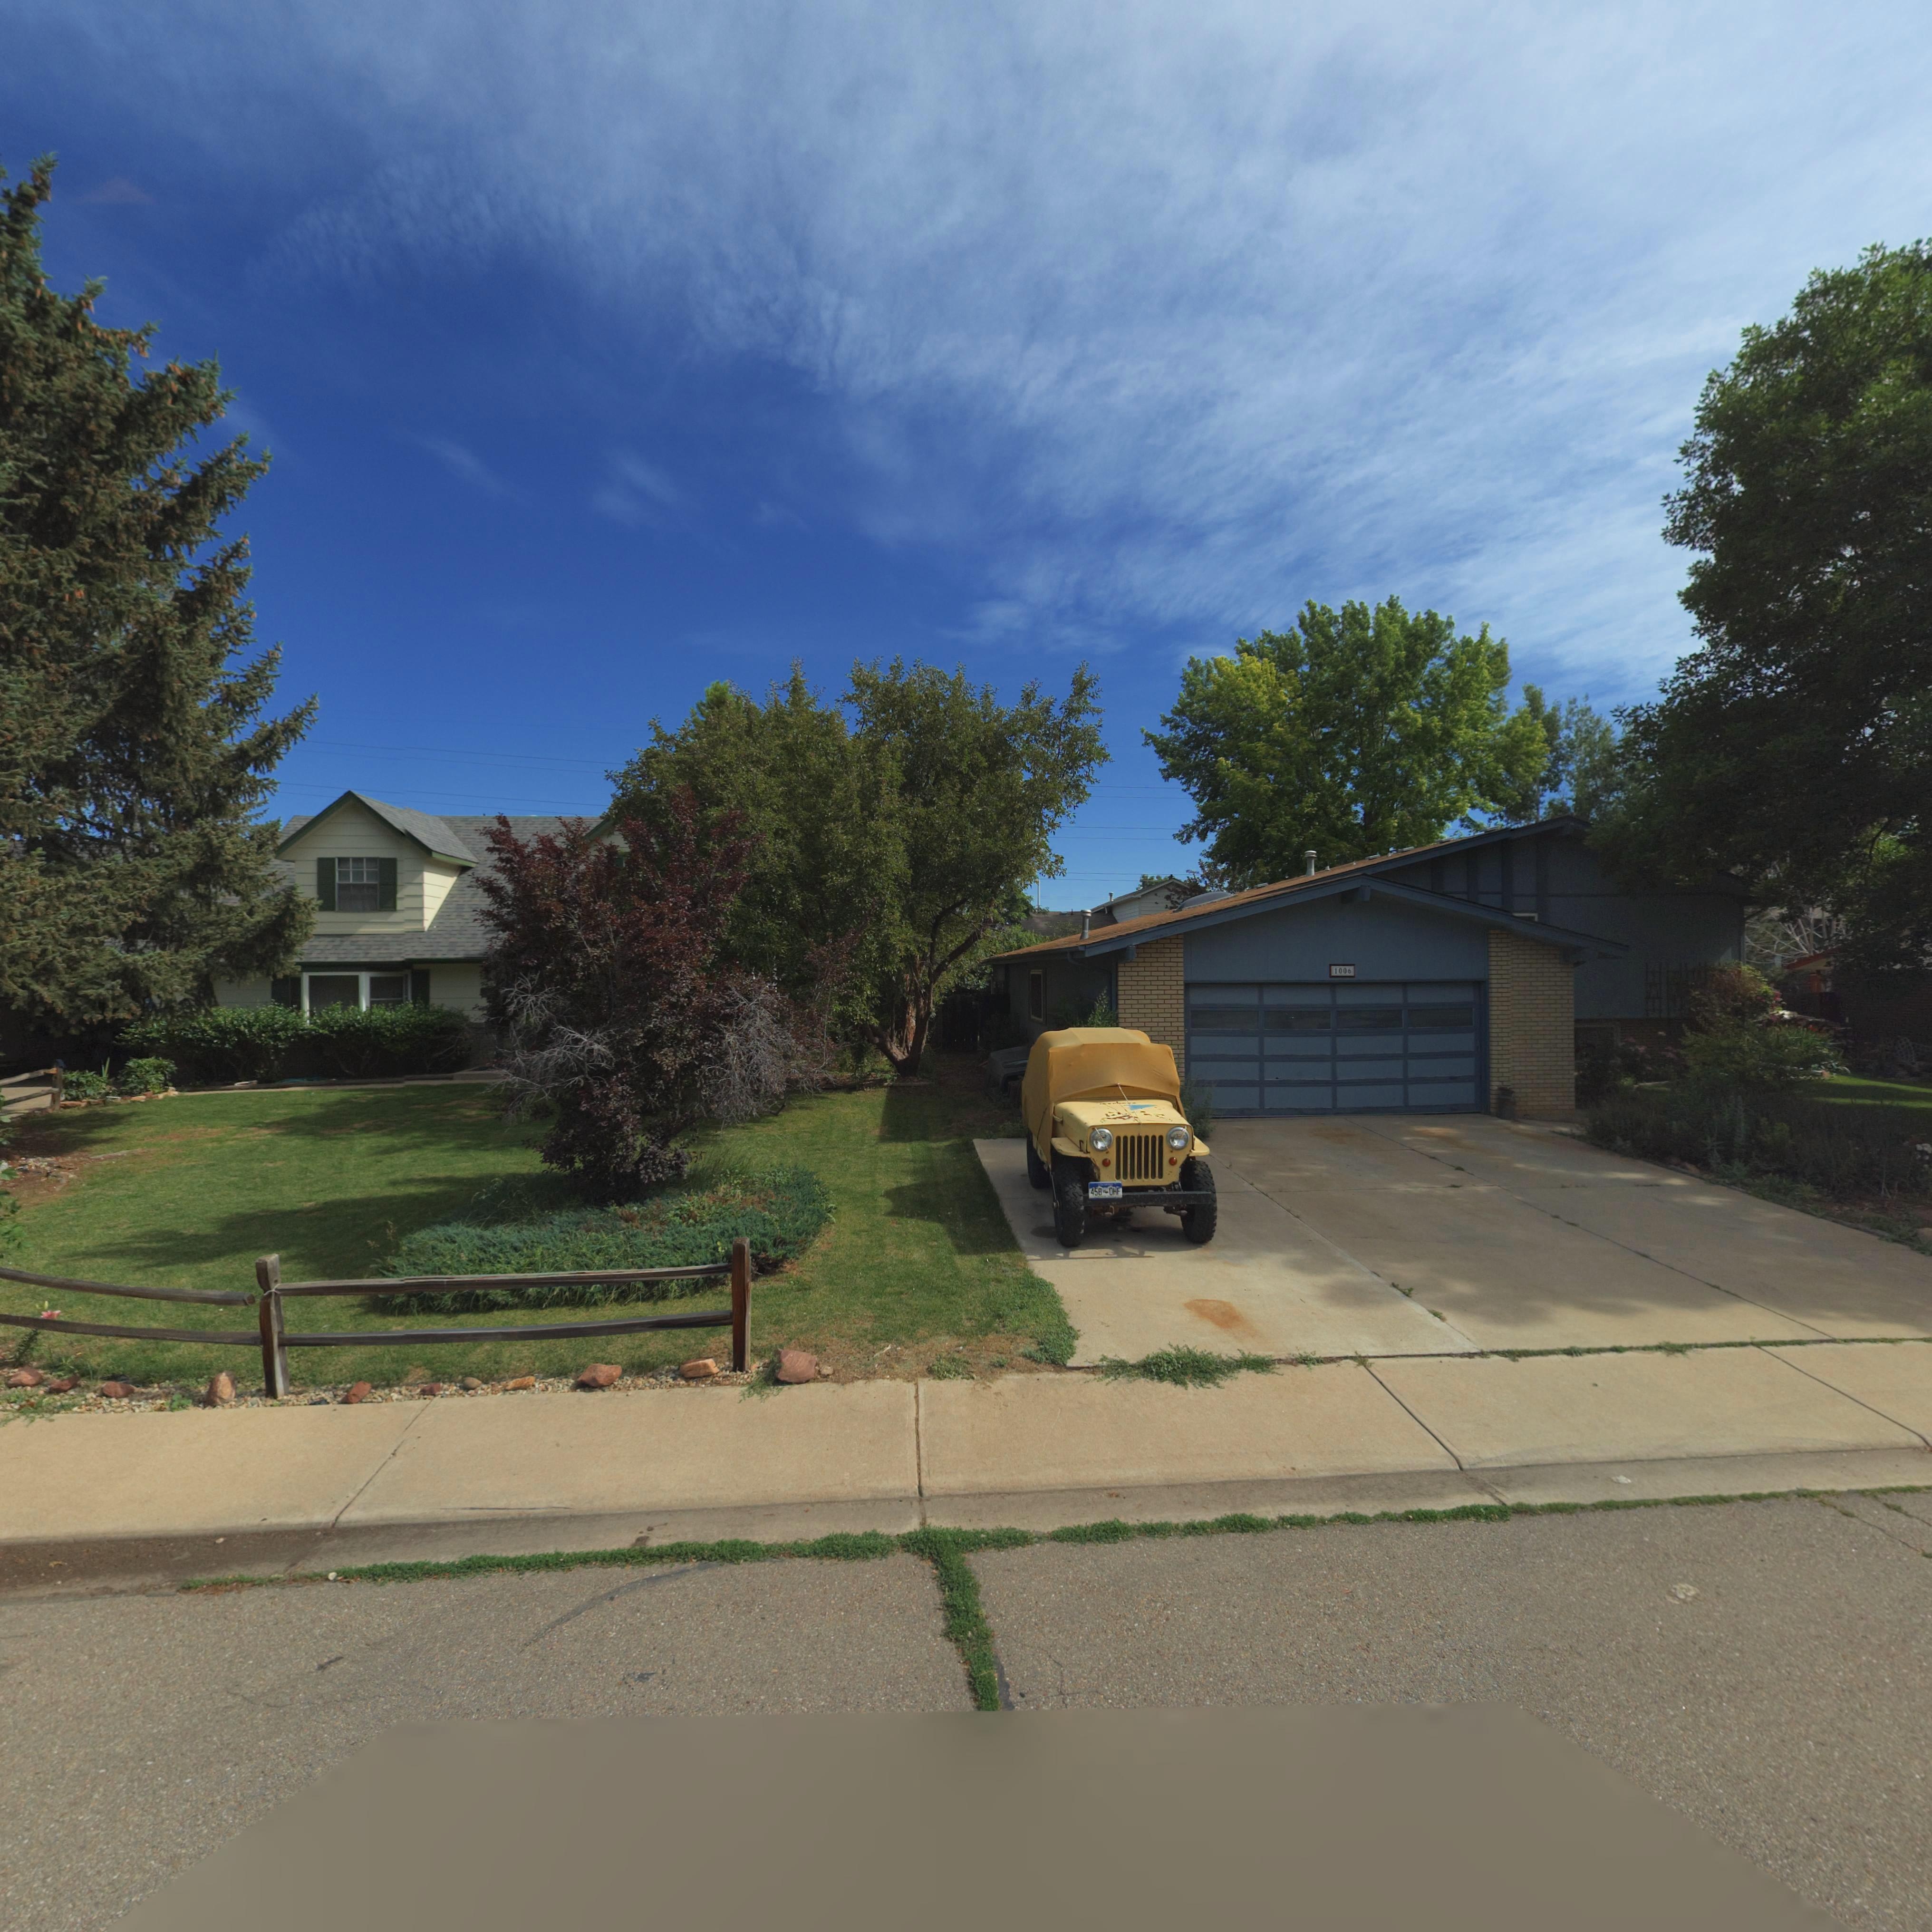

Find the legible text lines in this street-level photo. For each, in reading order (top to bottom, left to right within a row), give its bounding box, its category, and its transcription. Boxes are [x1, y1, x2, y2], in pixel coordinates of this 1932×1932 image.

[1334, 967, 1351, 974] StreetNumber: 1006